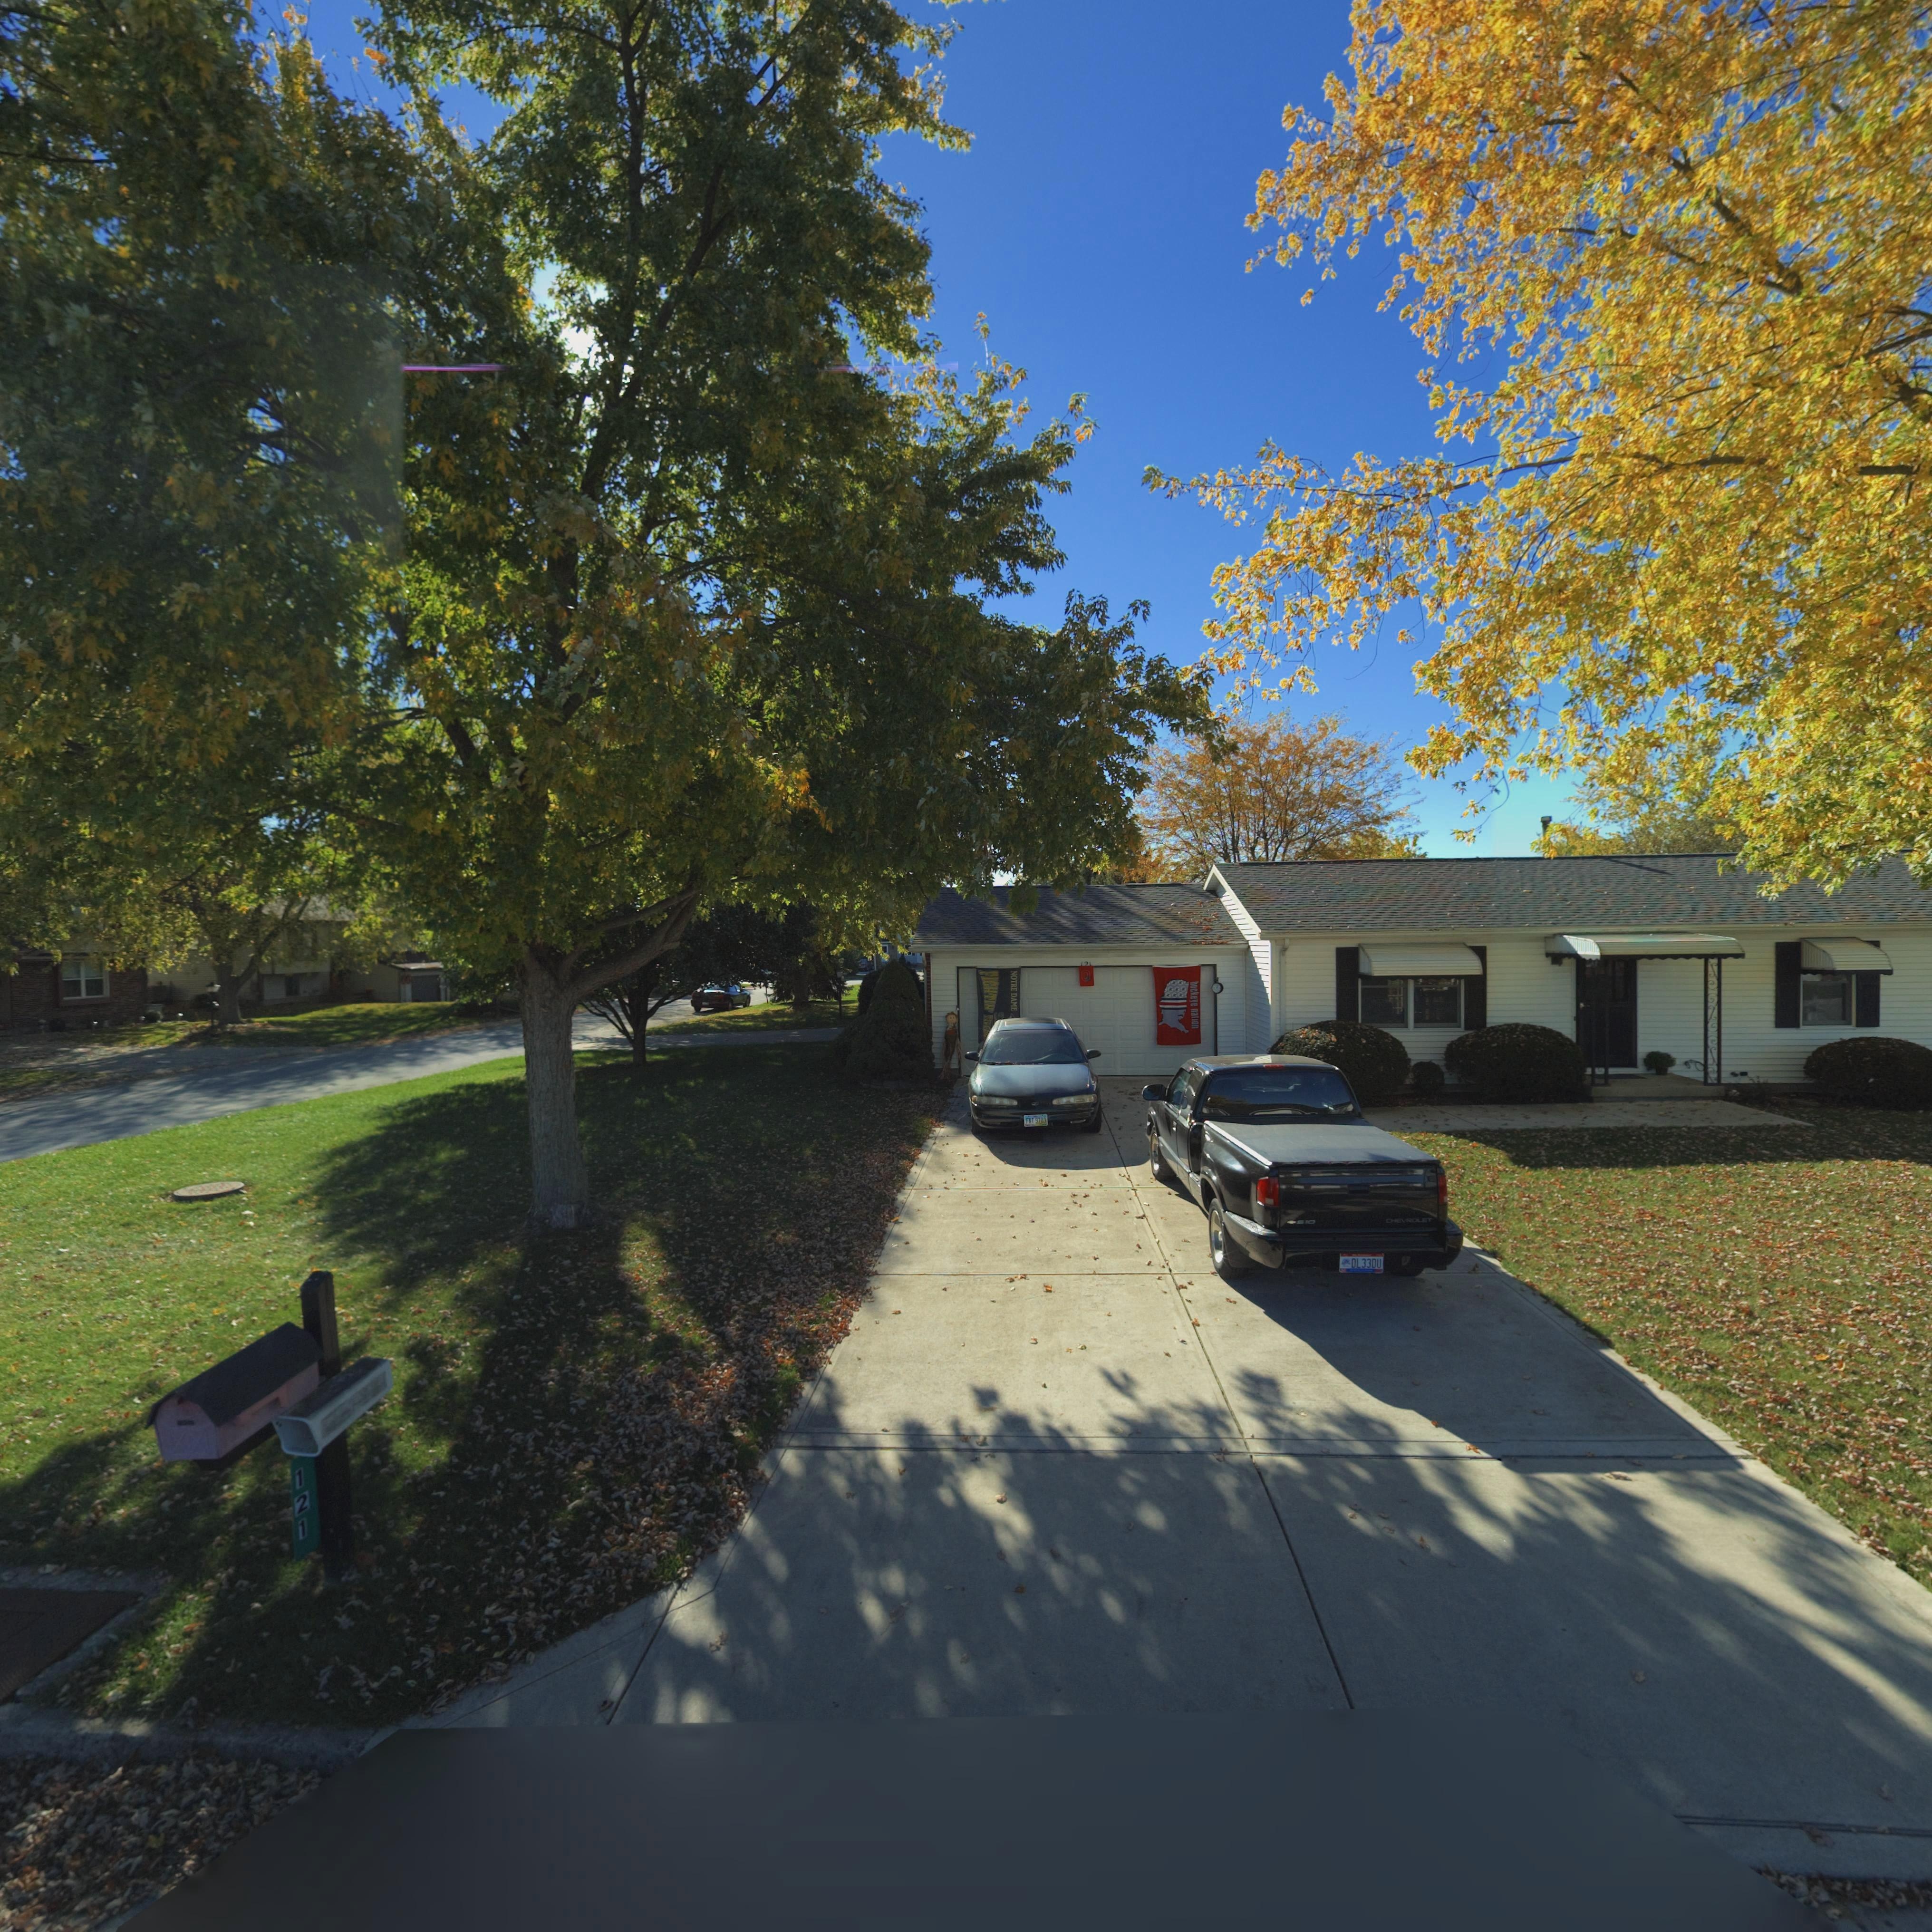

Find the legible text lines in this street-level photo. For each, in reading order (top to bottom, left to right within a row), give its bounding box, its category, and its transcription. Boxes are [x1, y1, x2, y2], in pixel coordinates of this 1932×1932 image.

[291, 1465, 313, 1543] StreetNumber: 121